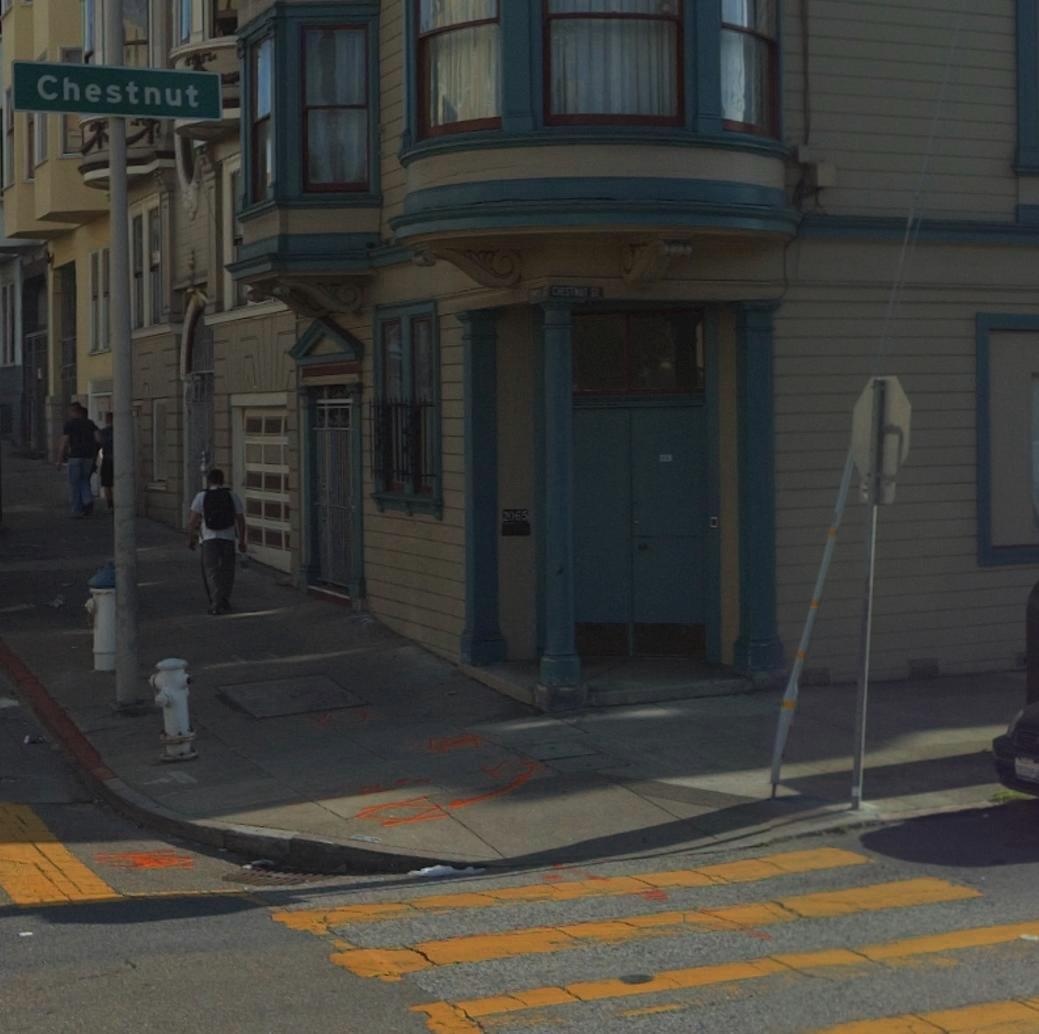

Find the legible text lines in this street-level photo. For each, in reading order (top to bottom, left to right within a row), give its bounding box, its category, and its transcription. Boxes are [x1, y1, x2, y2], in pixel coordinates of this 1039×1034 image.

[36, 71, 201, 109] StreetName: Chestnut
[550, 284, 601, 299] StreetName: CHESTNUT ST.
[502, 508, 529, 524] StreetNumber: 2065